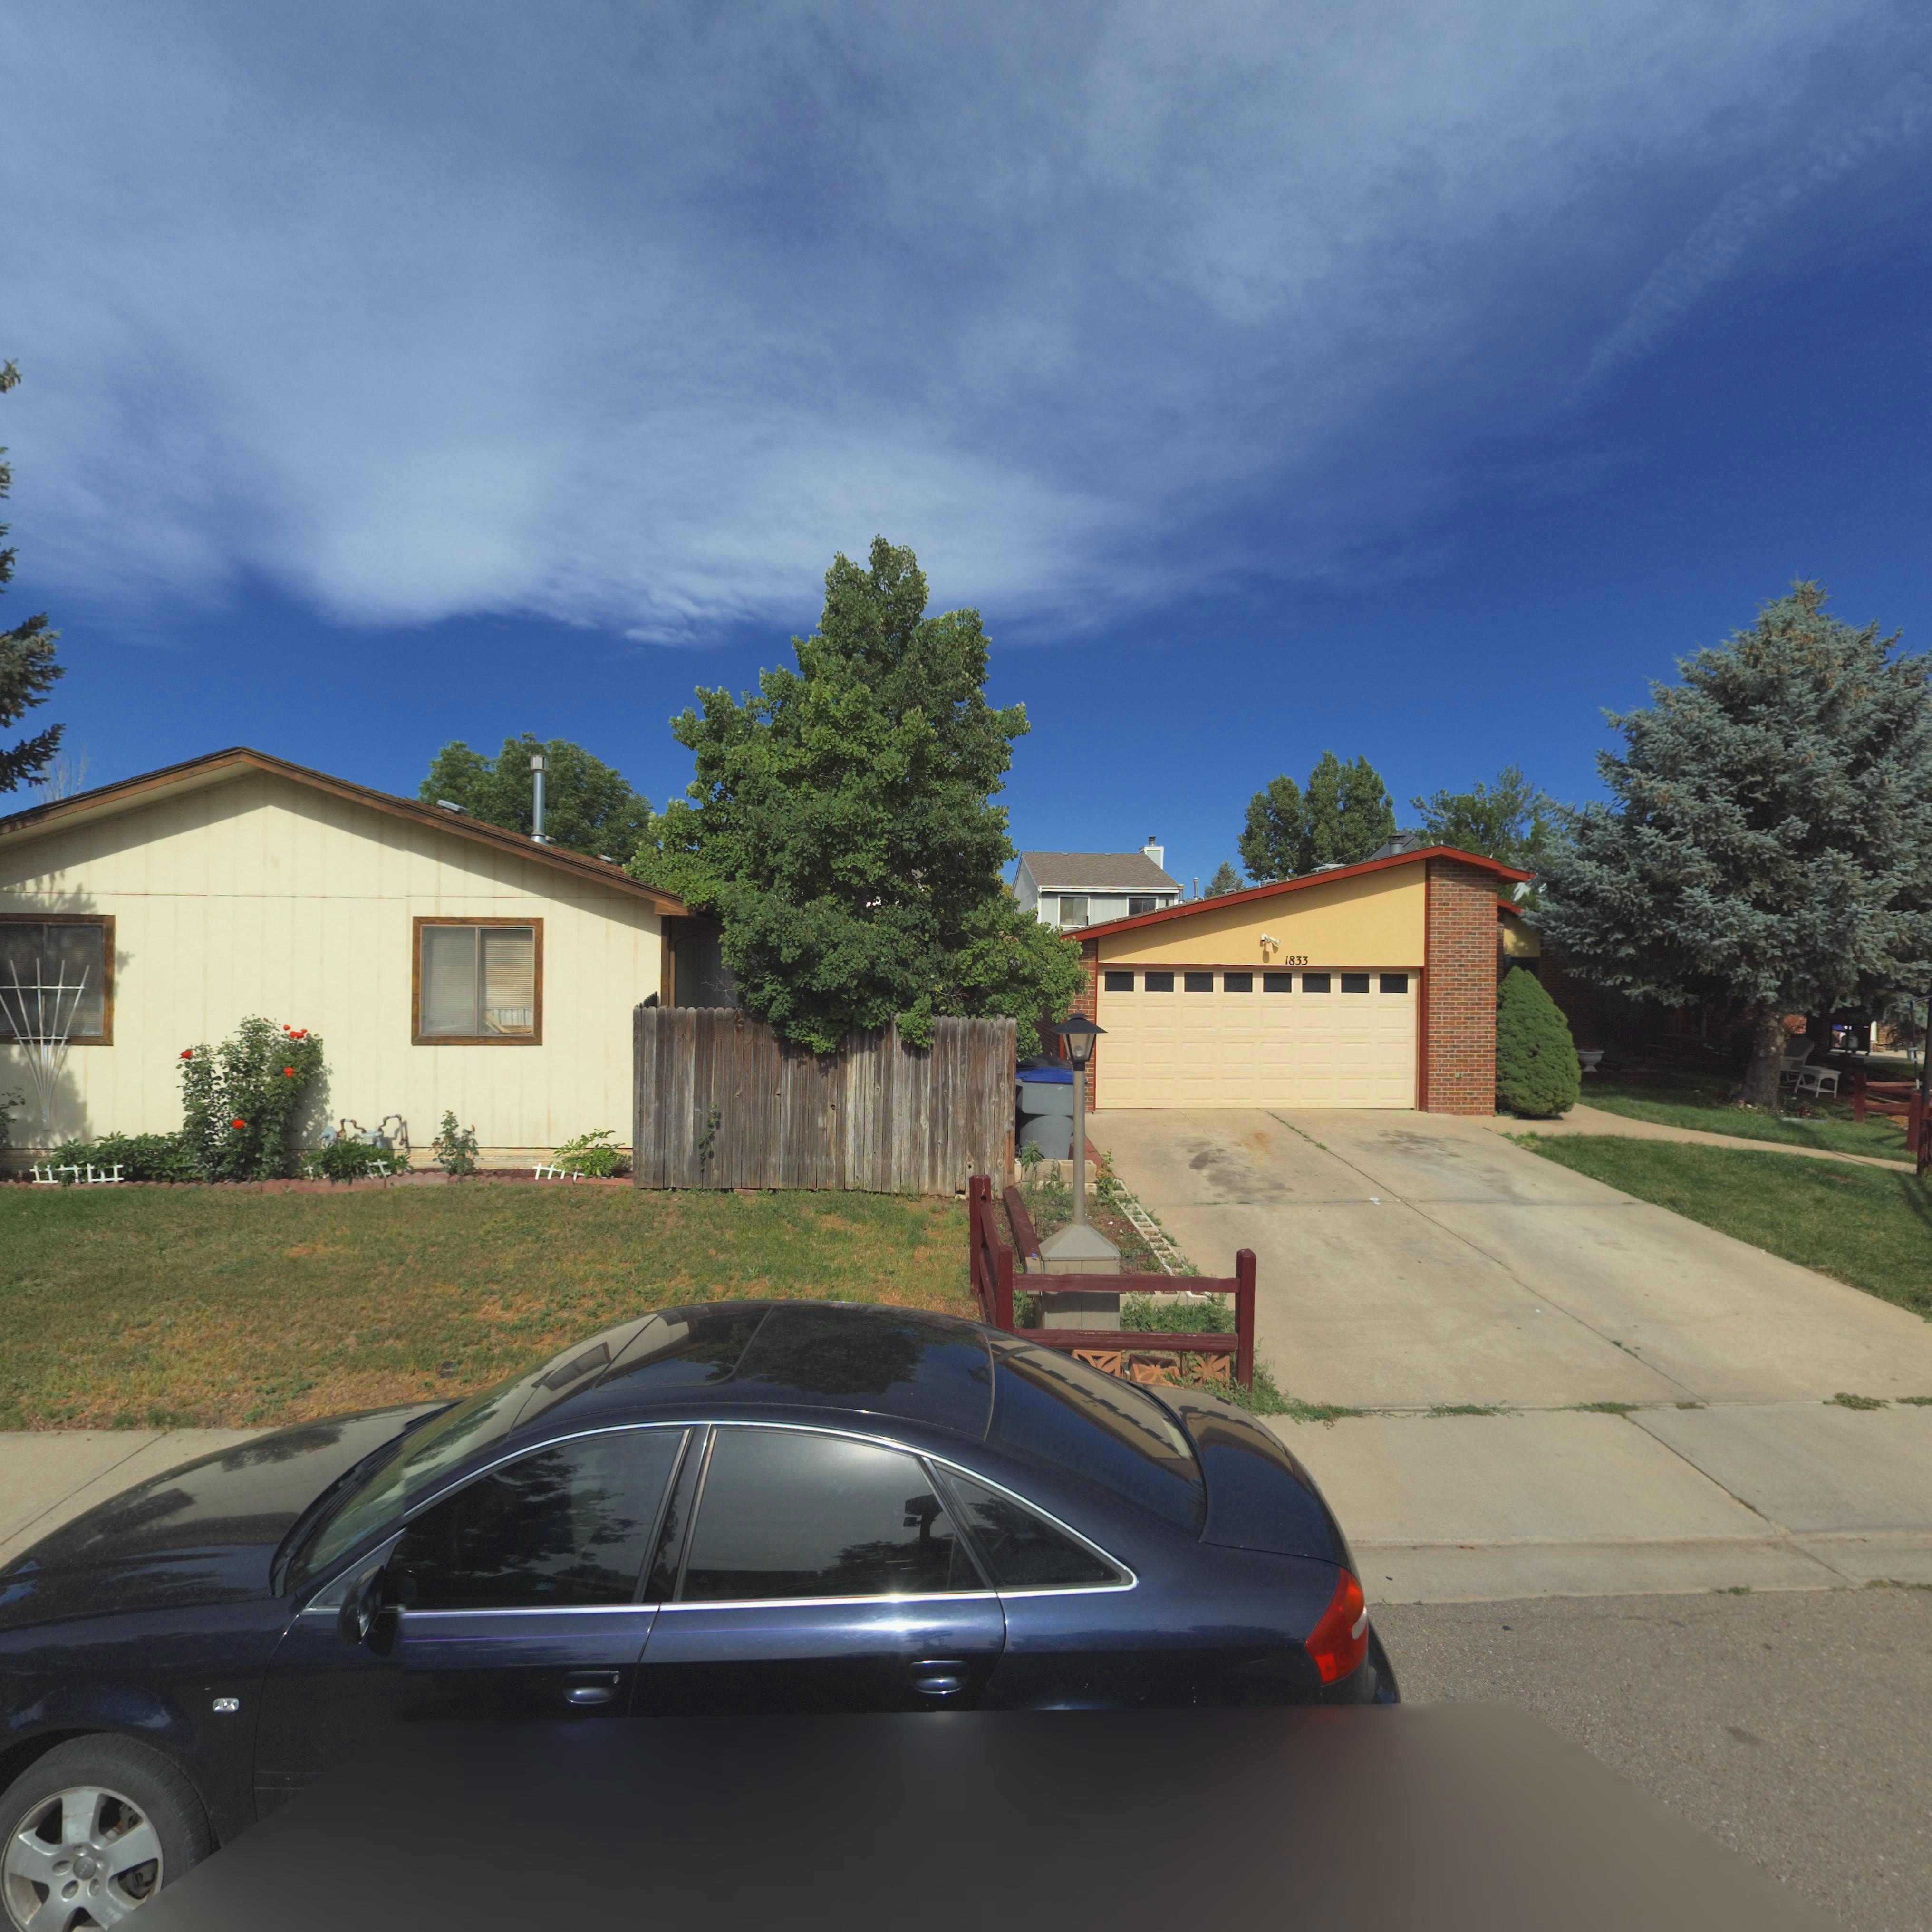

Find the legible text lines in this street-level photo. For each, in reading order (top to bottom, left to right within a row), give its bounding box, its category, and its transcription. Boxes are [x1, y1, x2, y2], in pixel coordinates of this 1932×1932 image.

[1285, 955, 1308, 965] StreetNumber: 1833